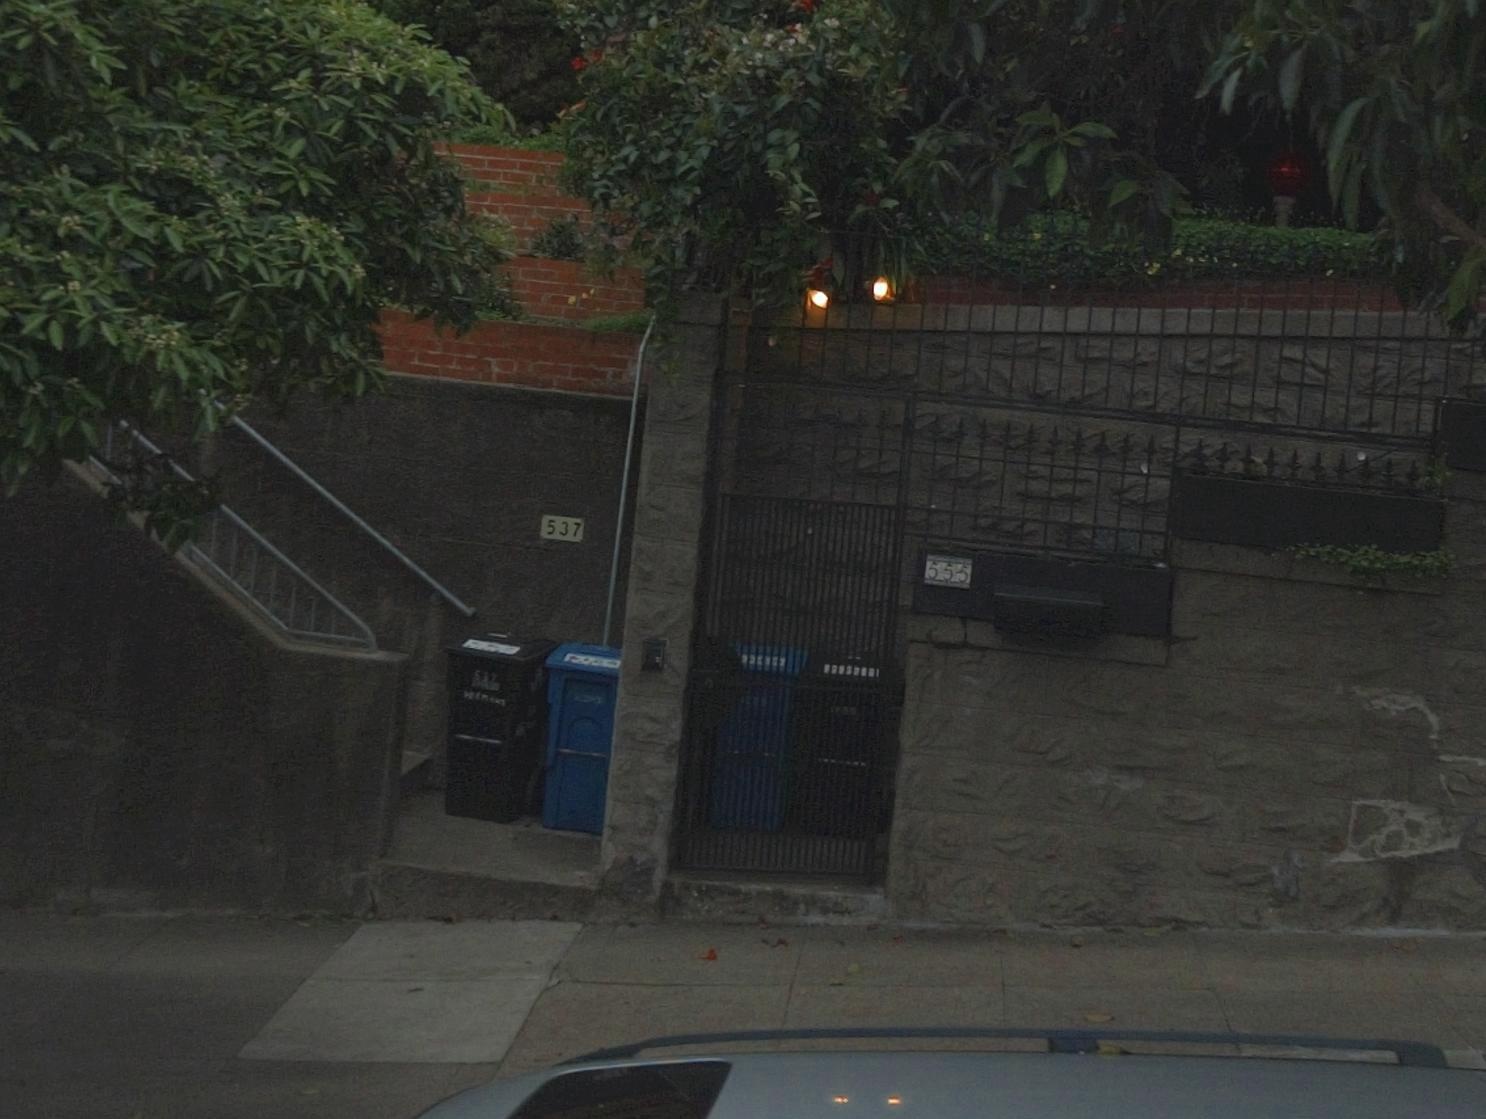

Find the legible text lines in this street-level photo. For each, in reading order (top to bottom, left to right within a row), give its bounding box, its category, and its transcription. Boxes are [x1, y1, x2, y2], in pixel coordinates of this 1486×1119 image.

[544, 517, 584, 539] StreetNumber: 537
[926, 559, 972, 586] StreetNumber: 555